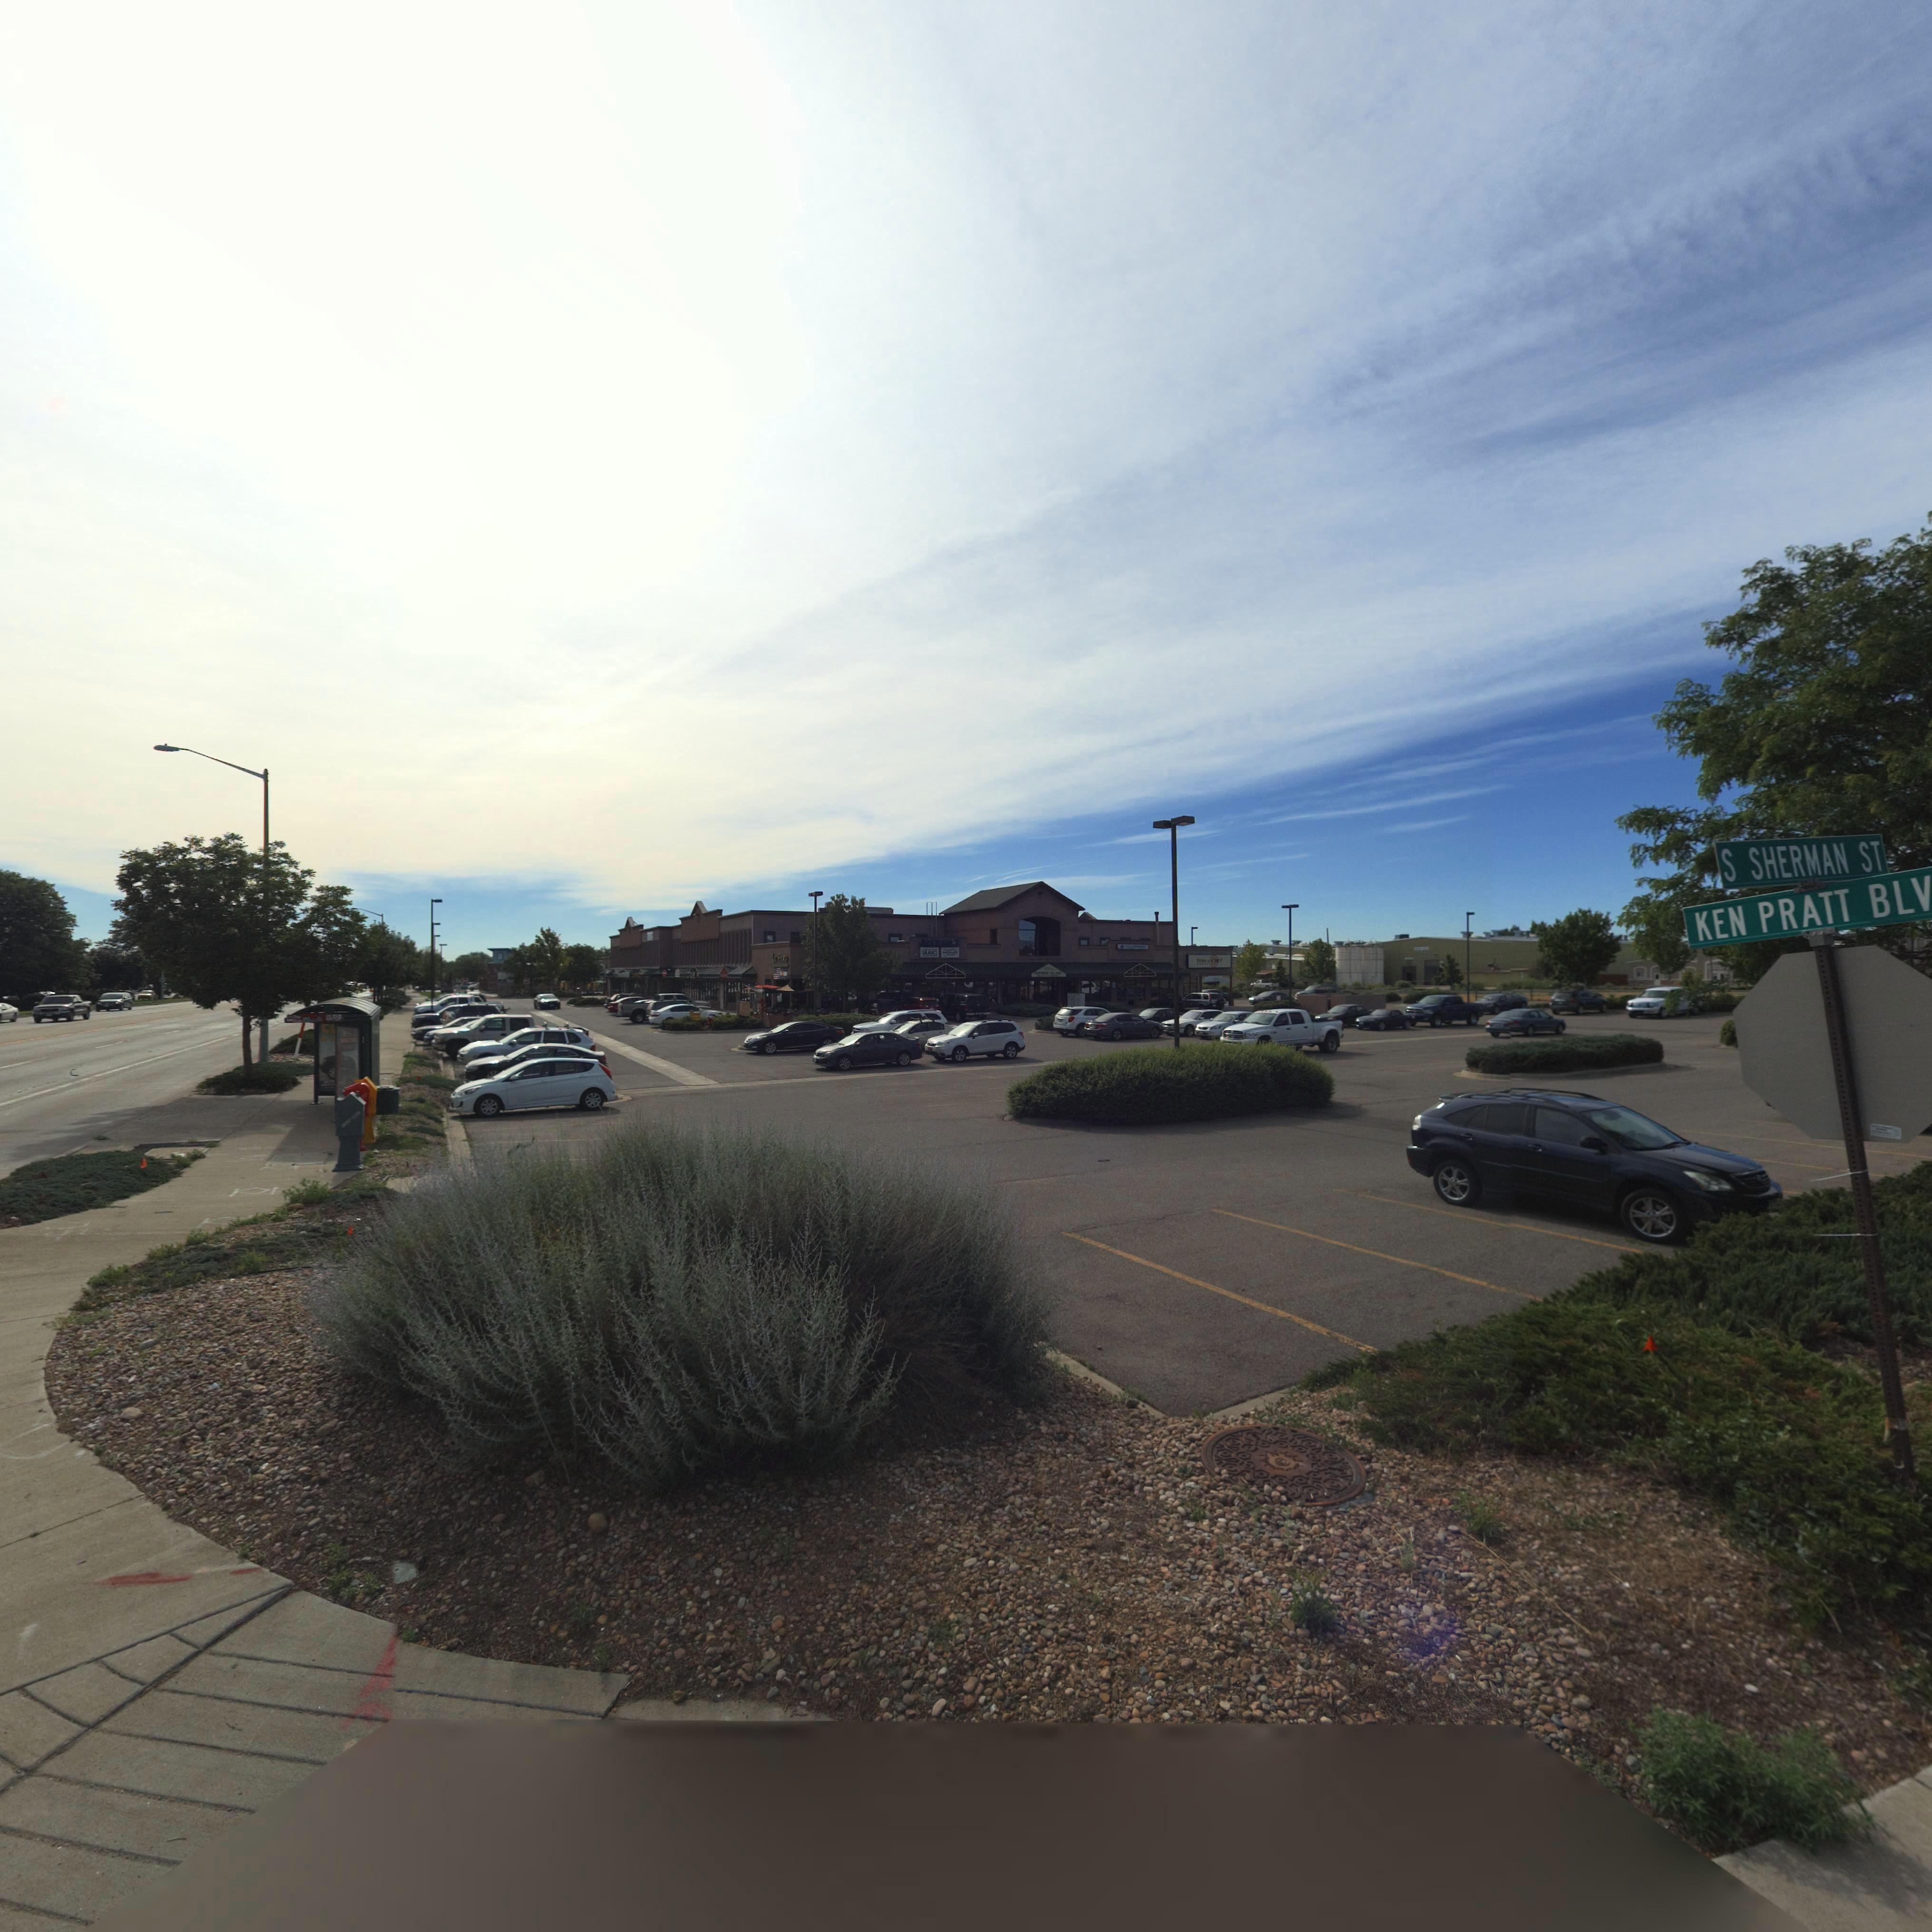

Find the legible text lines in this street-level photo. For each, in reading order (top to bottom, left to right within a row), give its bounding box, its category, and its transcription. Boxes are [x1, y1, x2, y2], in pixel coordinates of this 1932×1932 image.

[1719, 840, 1885, 884] StreetName: S SHERMAN ST
[1695, 875, 1932, 941] BusinessName: KEN PRATT BLV
[923, 950, 936, 955] BusinessName: AAIC